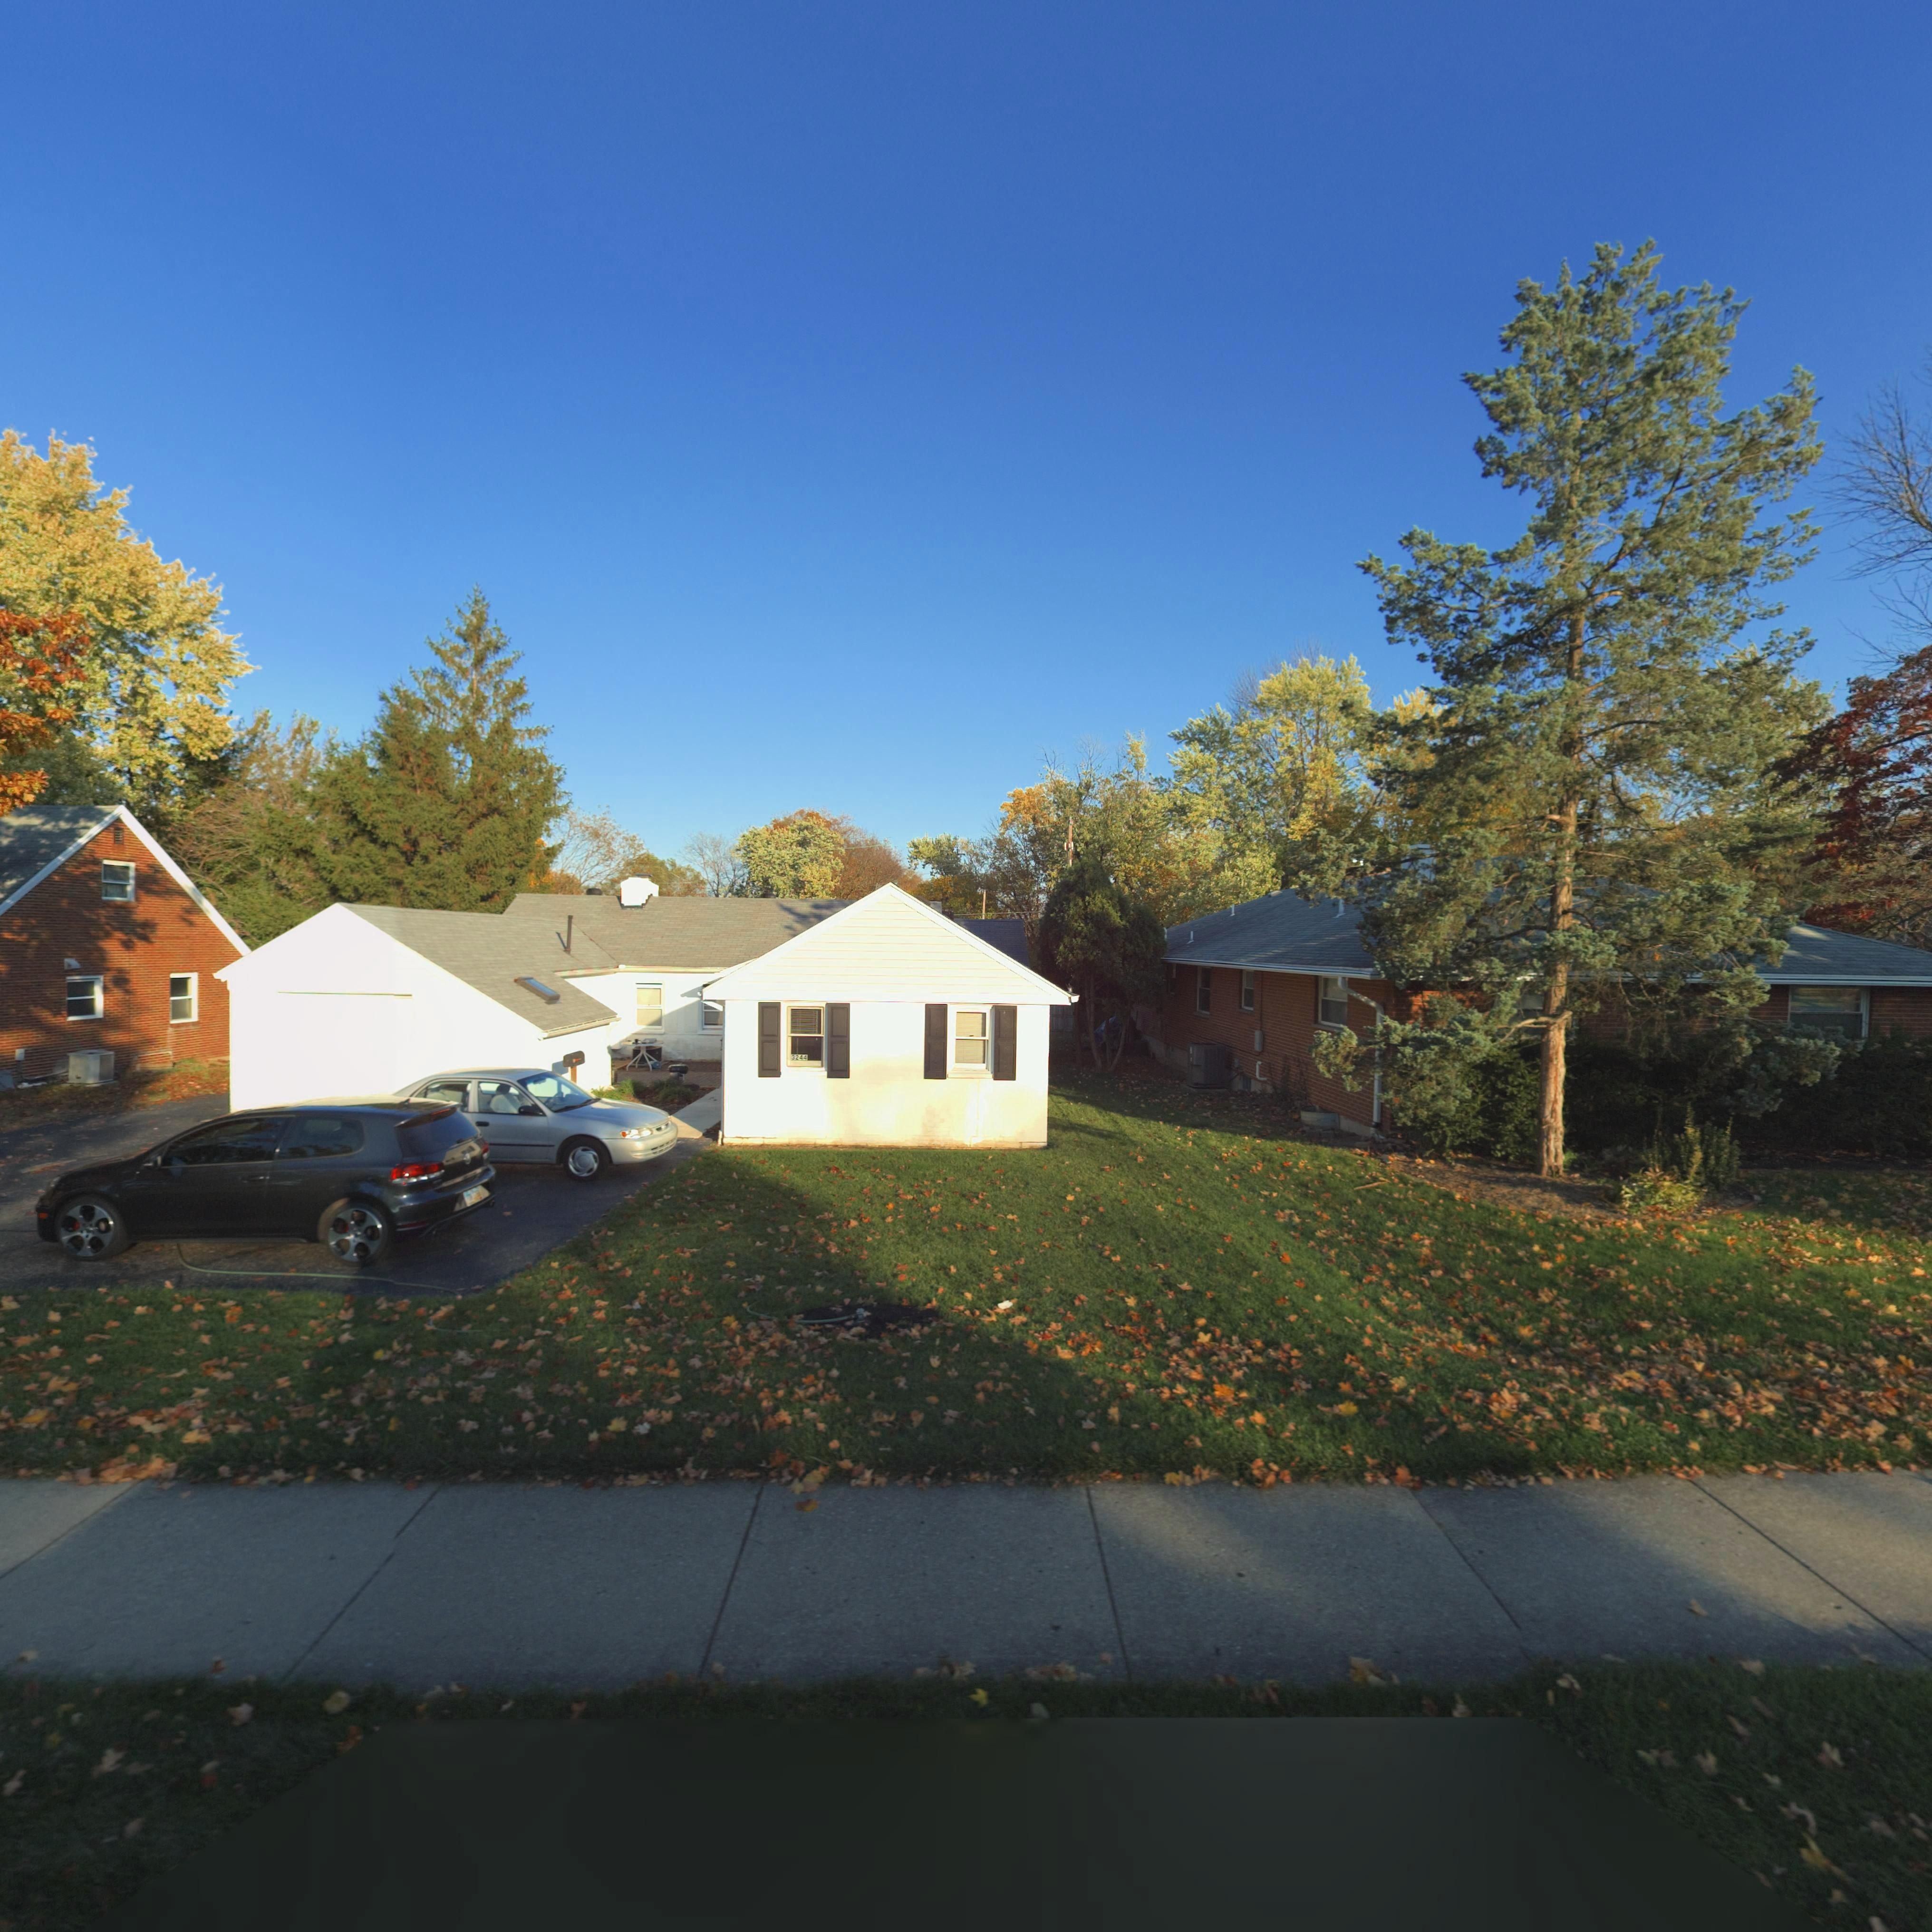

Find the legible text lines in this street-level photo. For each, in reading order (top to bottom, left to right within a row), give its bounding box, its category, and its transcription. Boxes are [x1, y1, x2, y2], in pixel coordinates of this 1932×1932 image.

[791, 1054, 808, 1061] StreetNumber: 3244